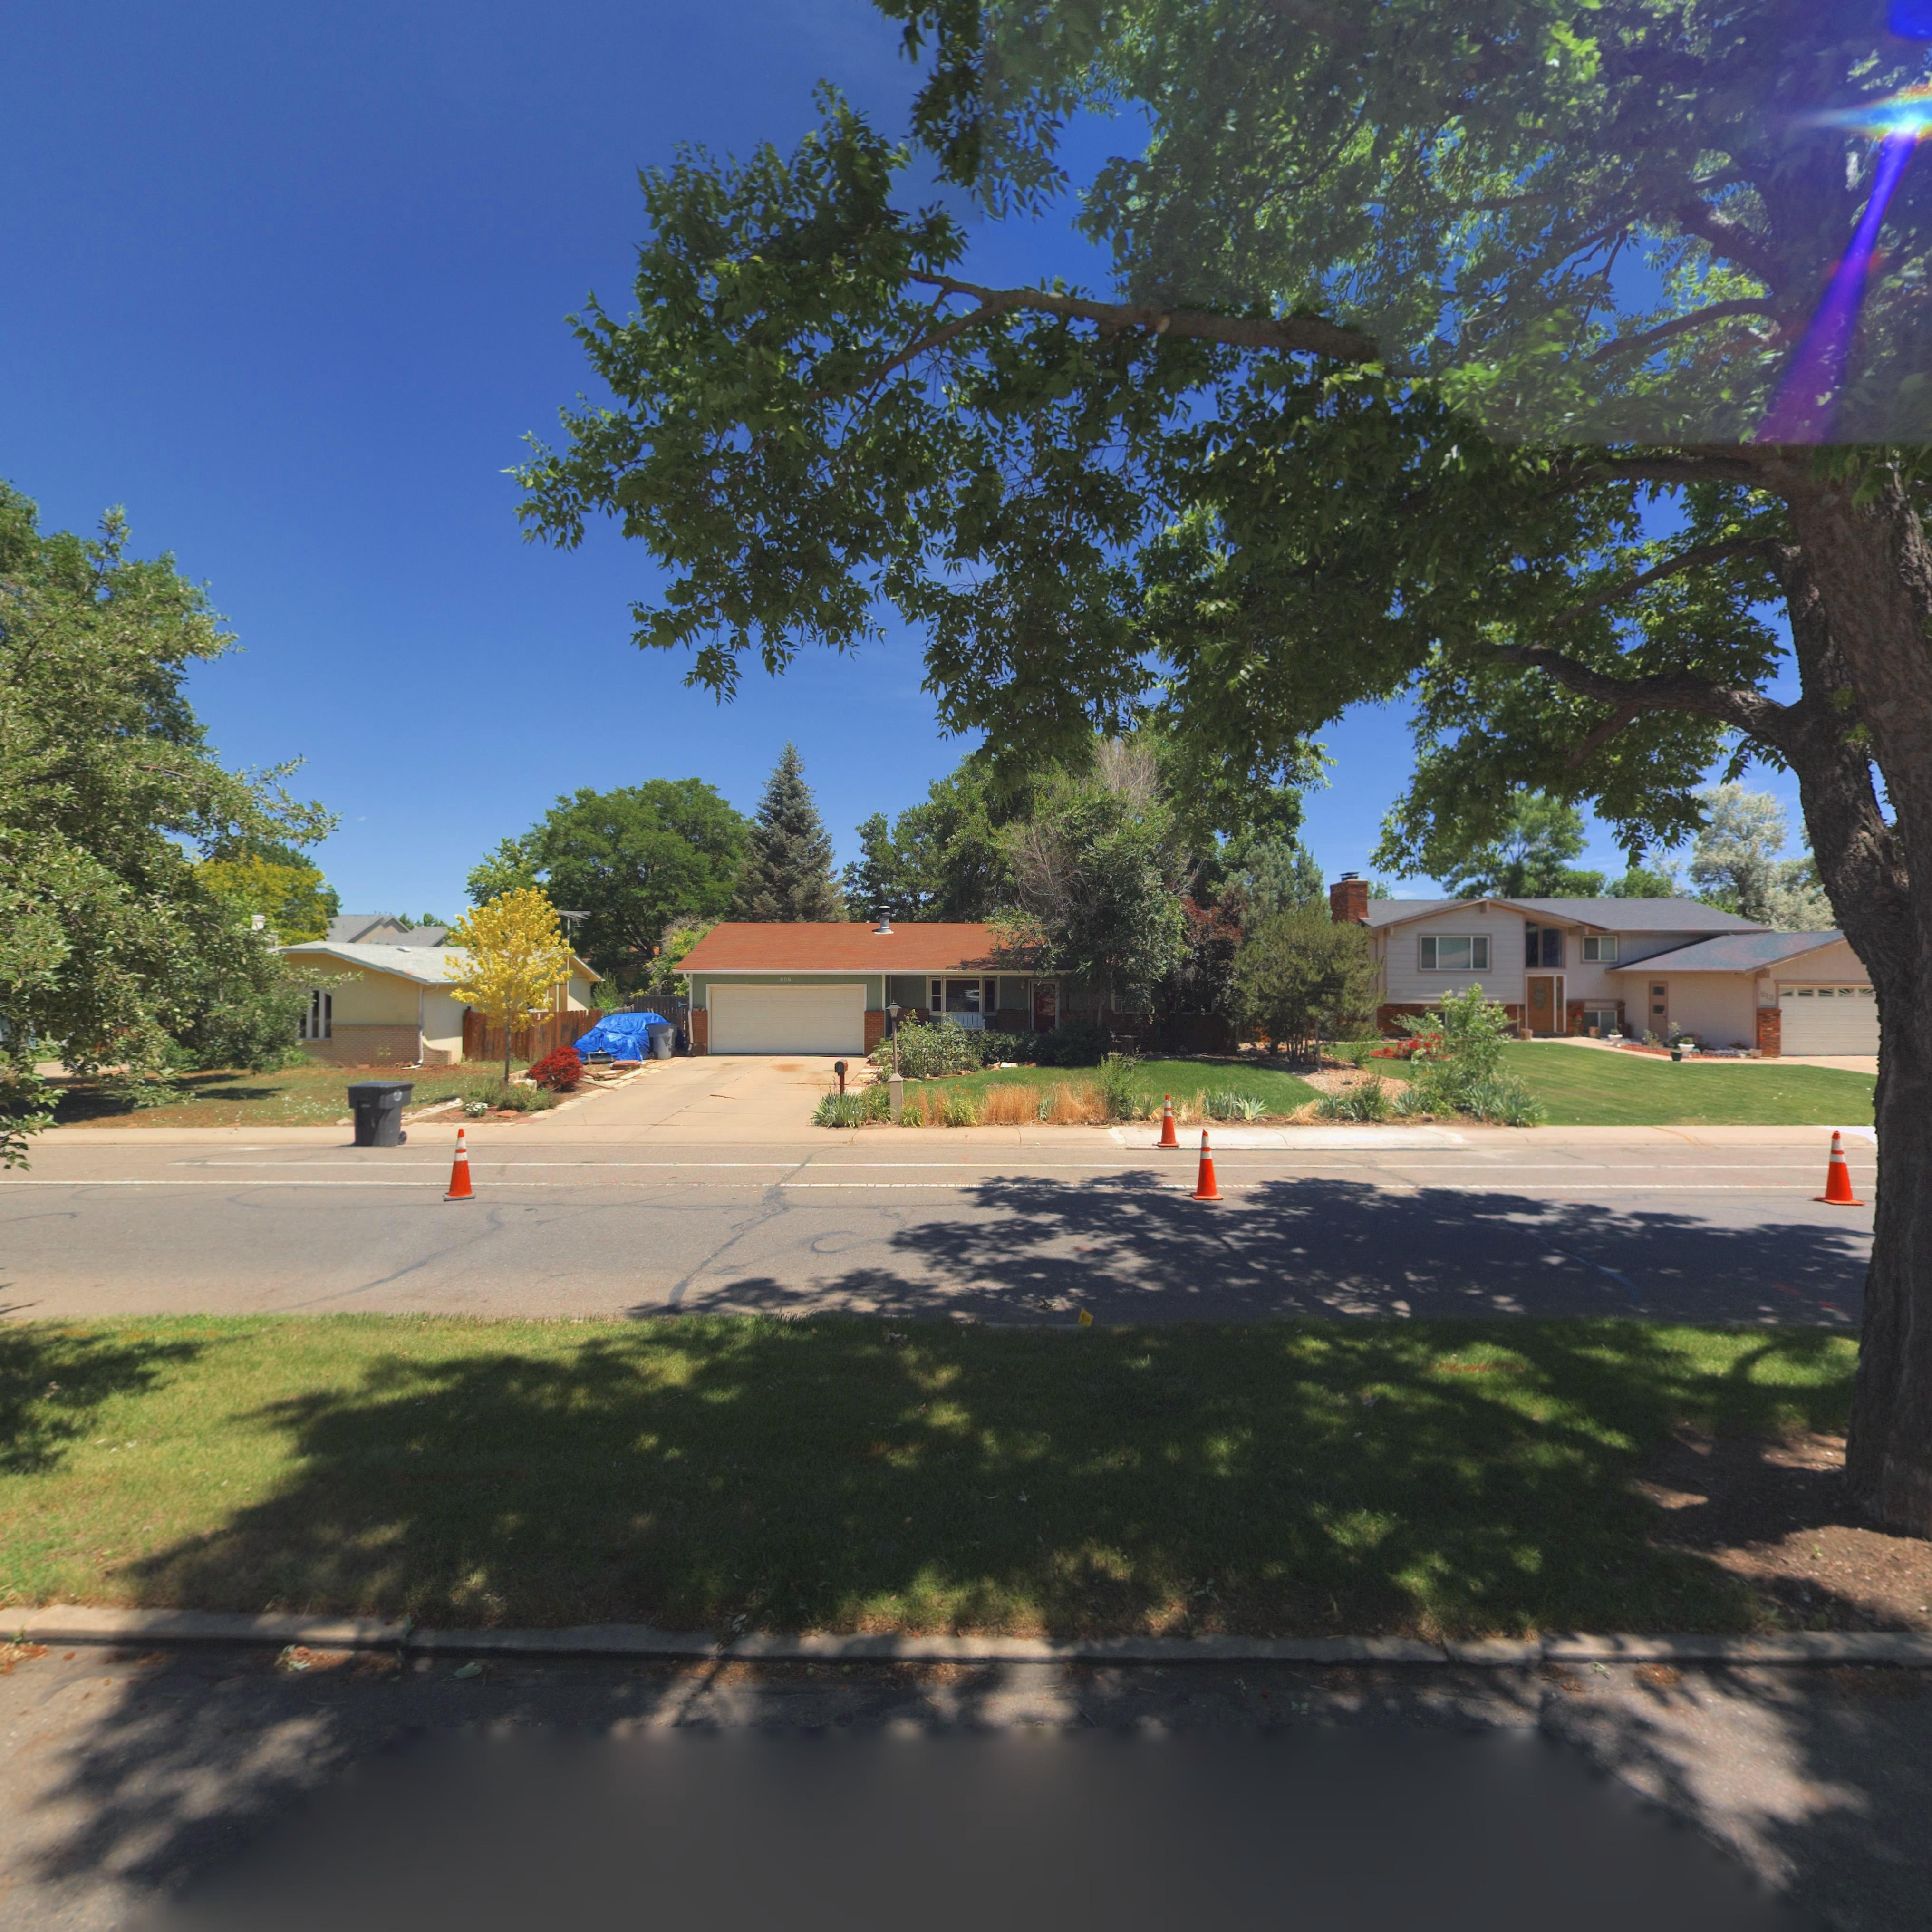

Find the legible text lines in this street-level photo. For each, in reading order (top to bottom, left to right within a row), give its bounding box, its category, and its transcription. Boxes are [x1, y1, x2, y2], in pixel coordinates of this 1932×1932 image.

[779, 976, 791, 982] StreetNumber: 806
[1759, 989, 1774, 1001] StreetNumber: 812